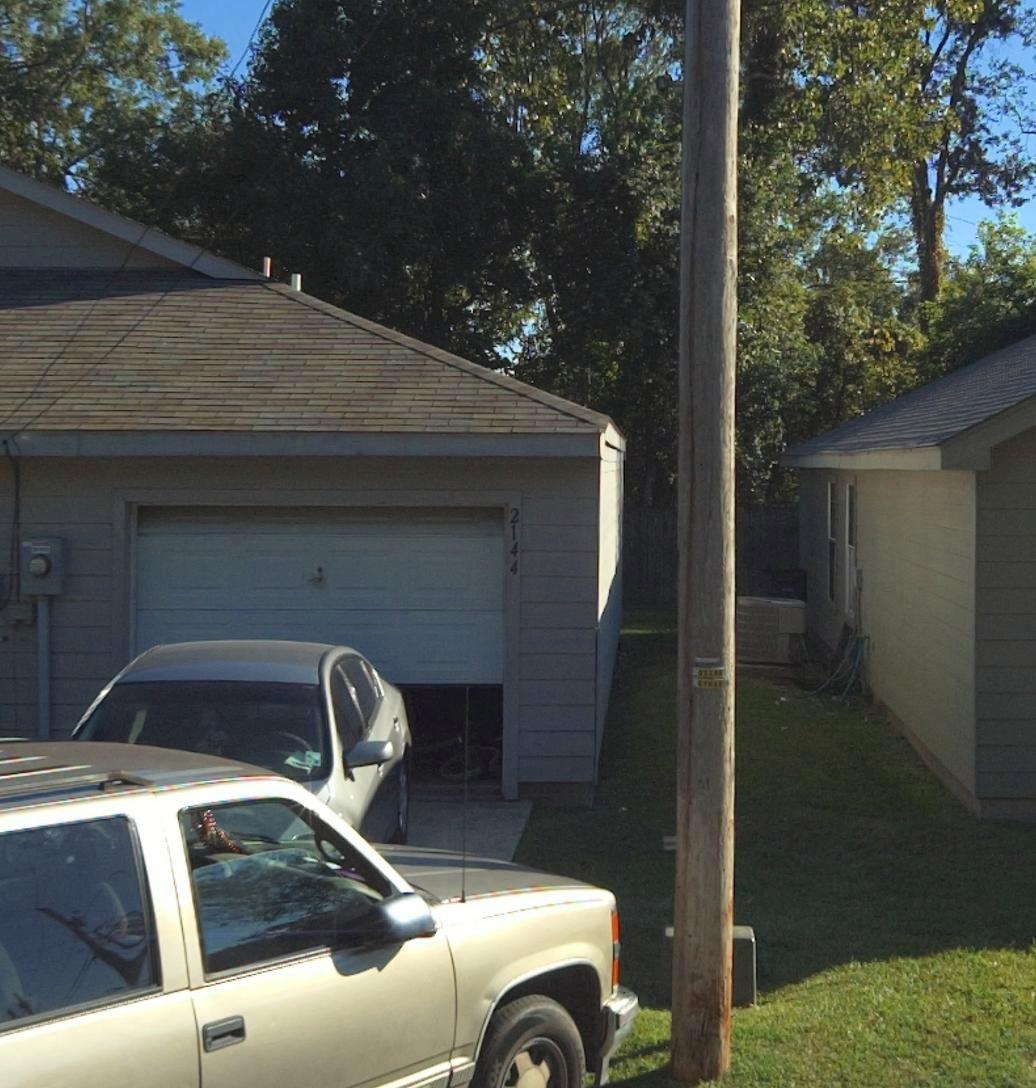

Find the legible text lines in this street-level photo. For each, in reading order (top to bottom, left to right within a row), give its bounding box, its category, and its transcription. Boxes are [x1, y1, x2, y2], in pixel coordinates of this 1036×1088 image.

[507, 506, 520, 576] StreetNumber: 2144